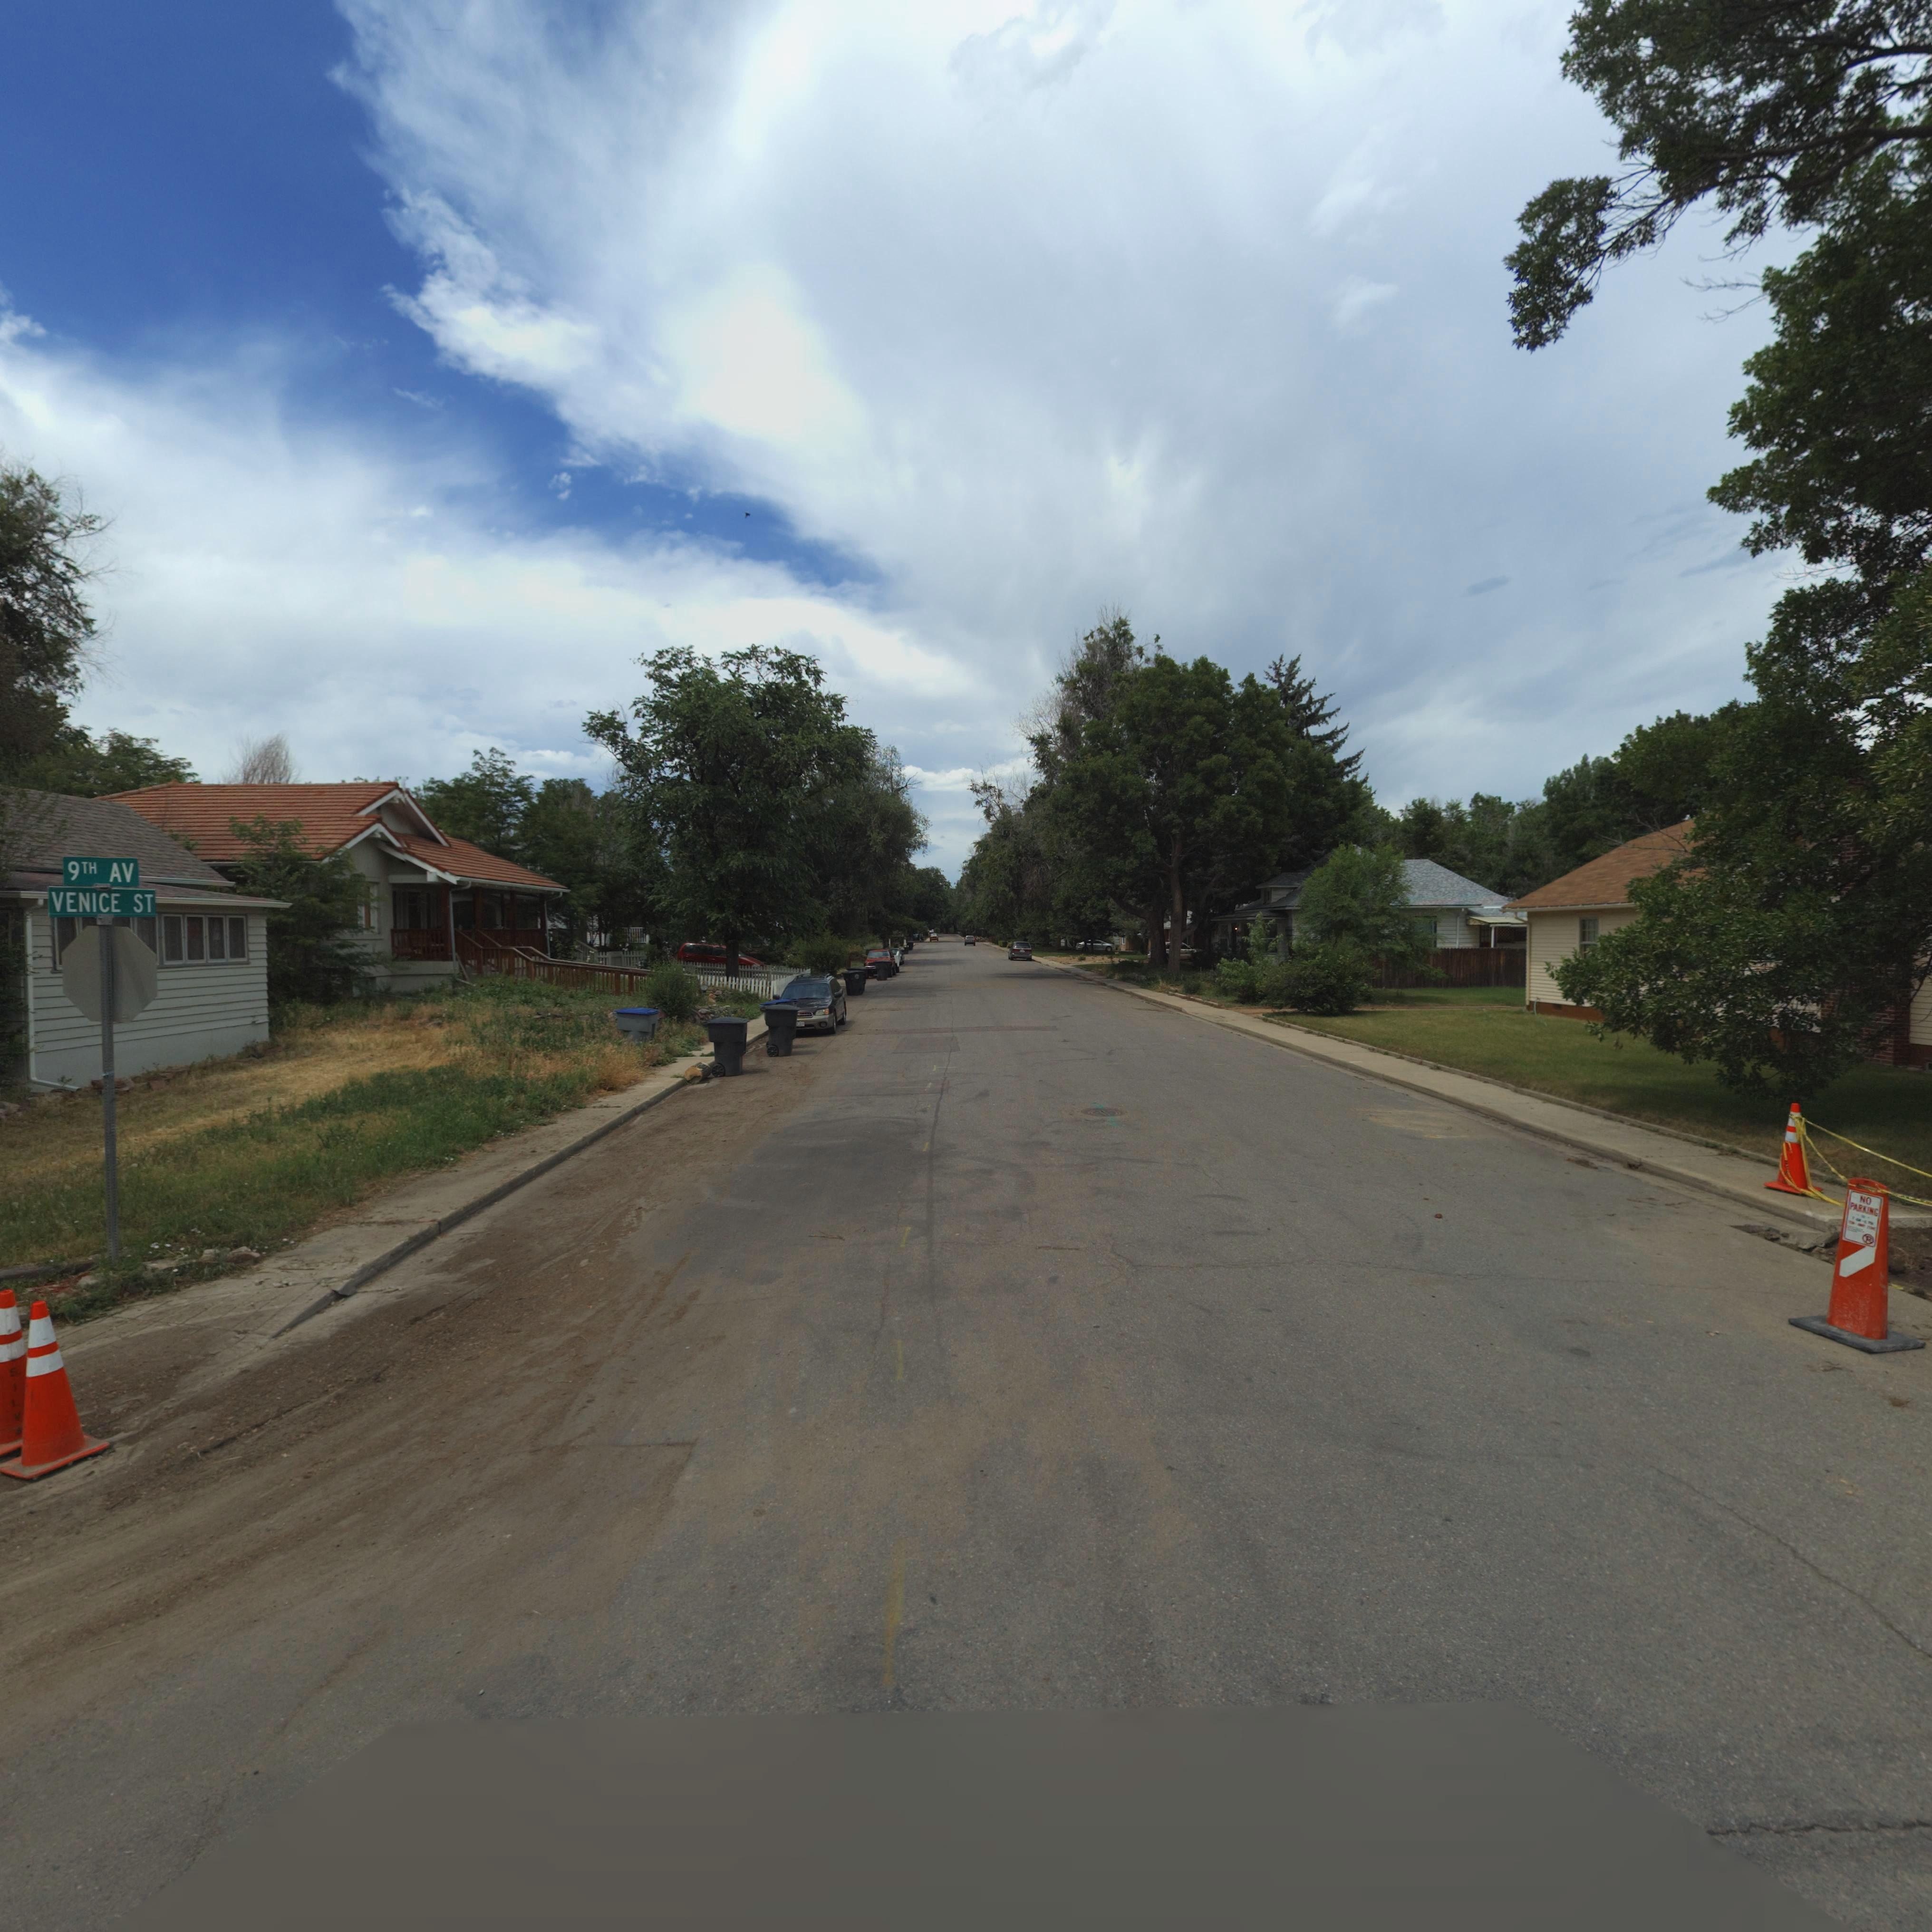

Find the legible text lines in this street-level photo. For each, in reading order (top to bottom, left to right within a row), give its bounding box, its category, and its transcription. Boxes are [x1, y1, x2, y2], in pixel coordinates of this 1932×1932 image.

[66, 860, 135, 884] StreetName: 9TH AV
[50, 891, 155, 913] StreetName: VENICE ST